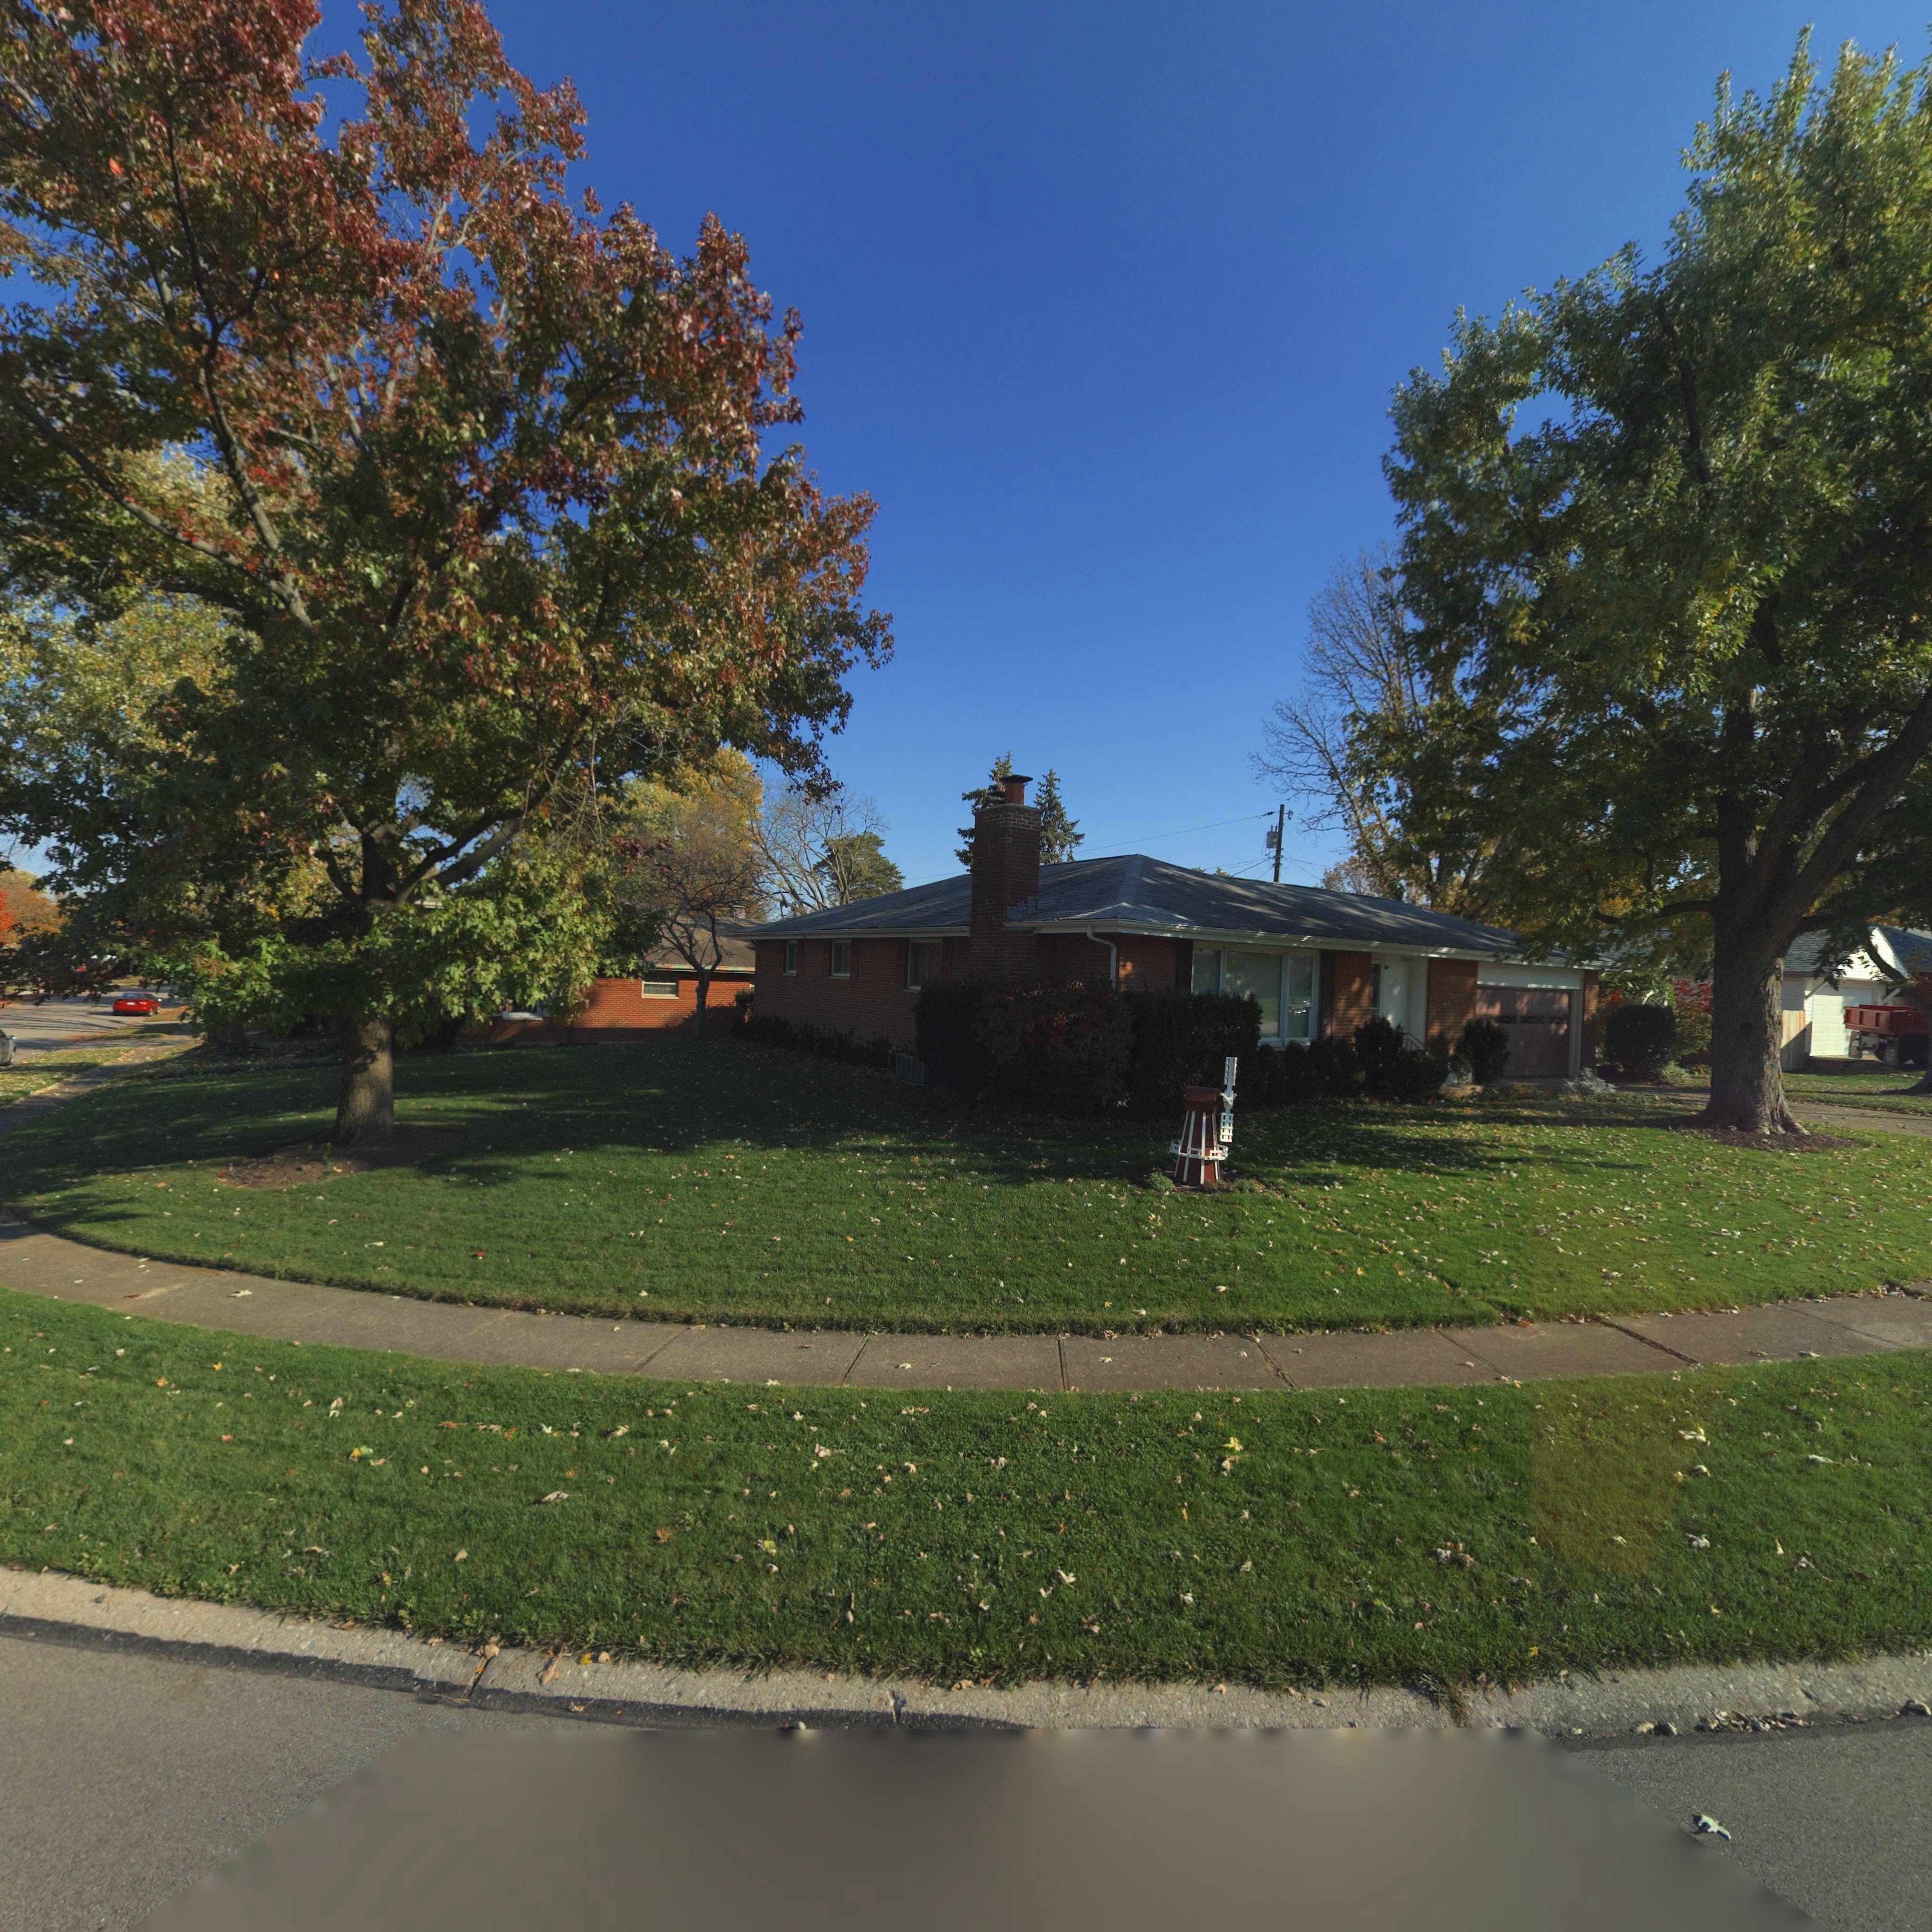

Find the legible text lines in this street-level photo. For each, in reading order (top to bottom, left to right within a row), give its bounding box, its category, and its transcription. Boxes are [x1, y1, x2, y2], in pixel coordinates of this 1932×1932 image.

[1388, 976, 1400, 989] StreetNumber: 6**